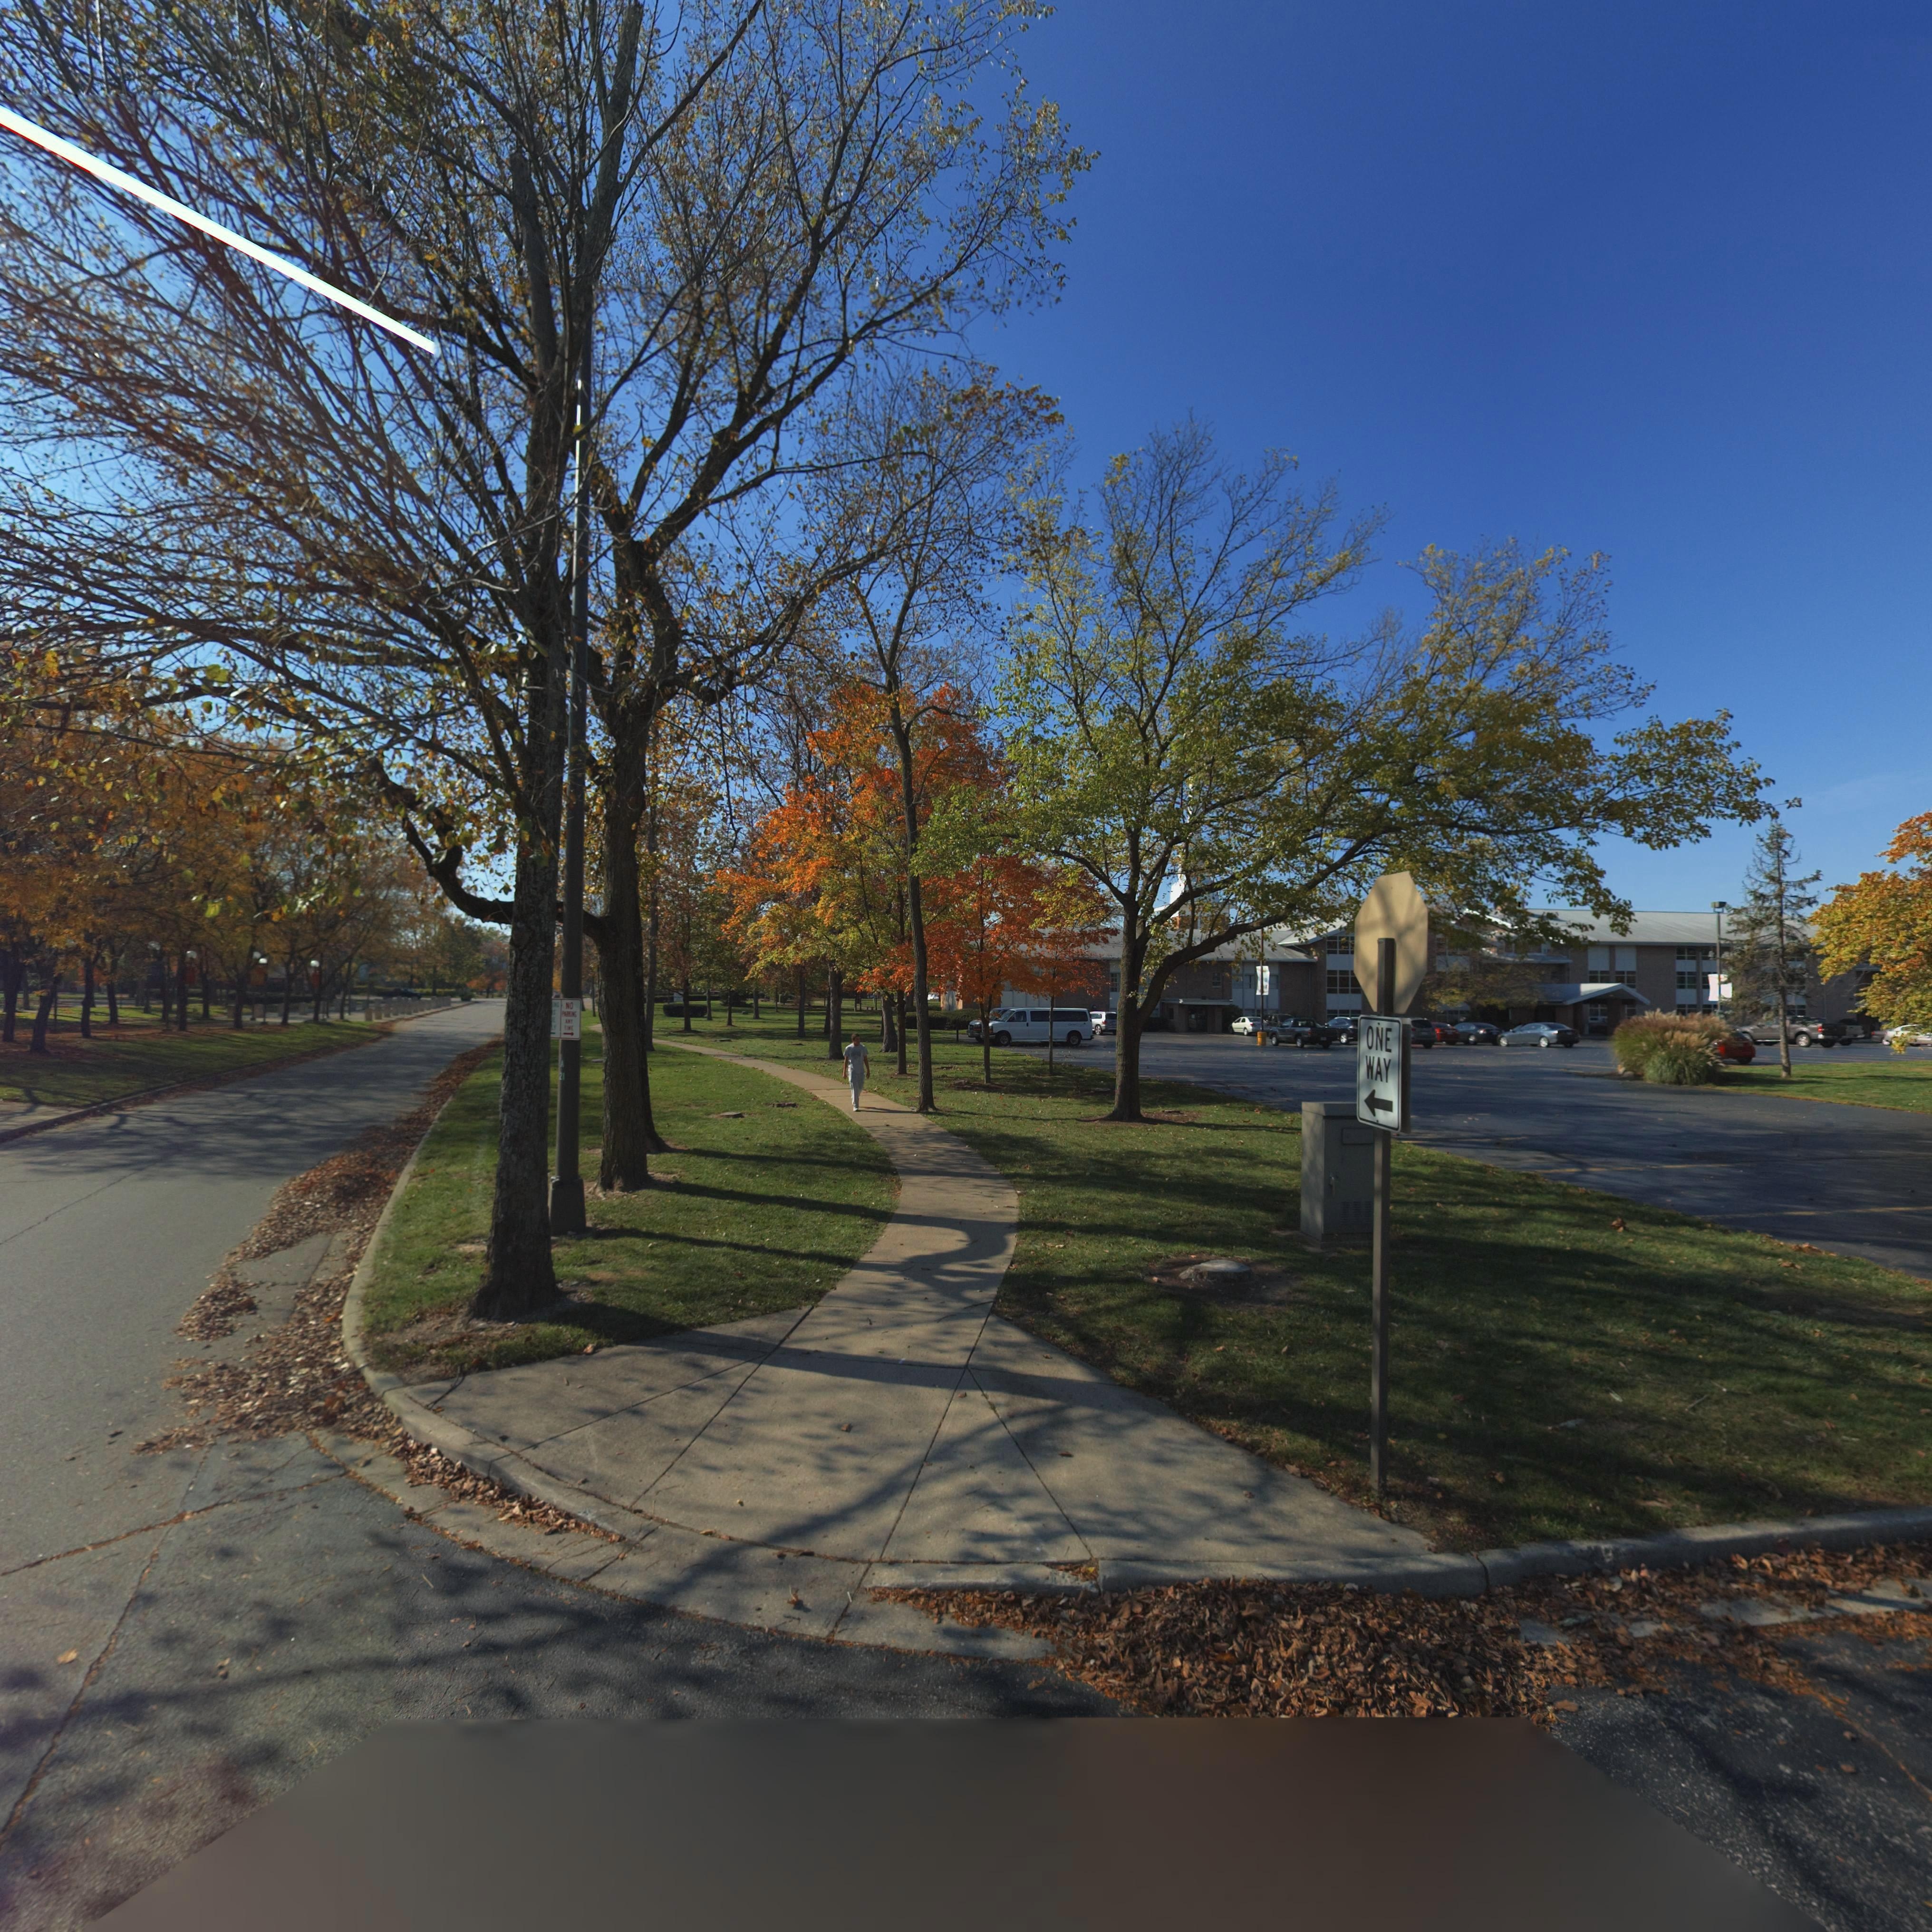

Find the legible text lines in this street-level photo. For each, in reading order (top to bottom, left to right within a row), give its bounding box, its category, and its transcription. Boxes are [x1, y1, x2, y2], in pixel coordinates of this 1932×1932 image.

[565, 1001, 573, 1009] None: NO
[560, 1010, 577, 1017] None: PARKING
[564, 1018, 572, 1024] None: ANY
[564, 1024, 573, 1031] None: TIME
[1365, 1025, 1393, 1053] None: ONE
[1364, 1054, 1392, 1083] None: WAY